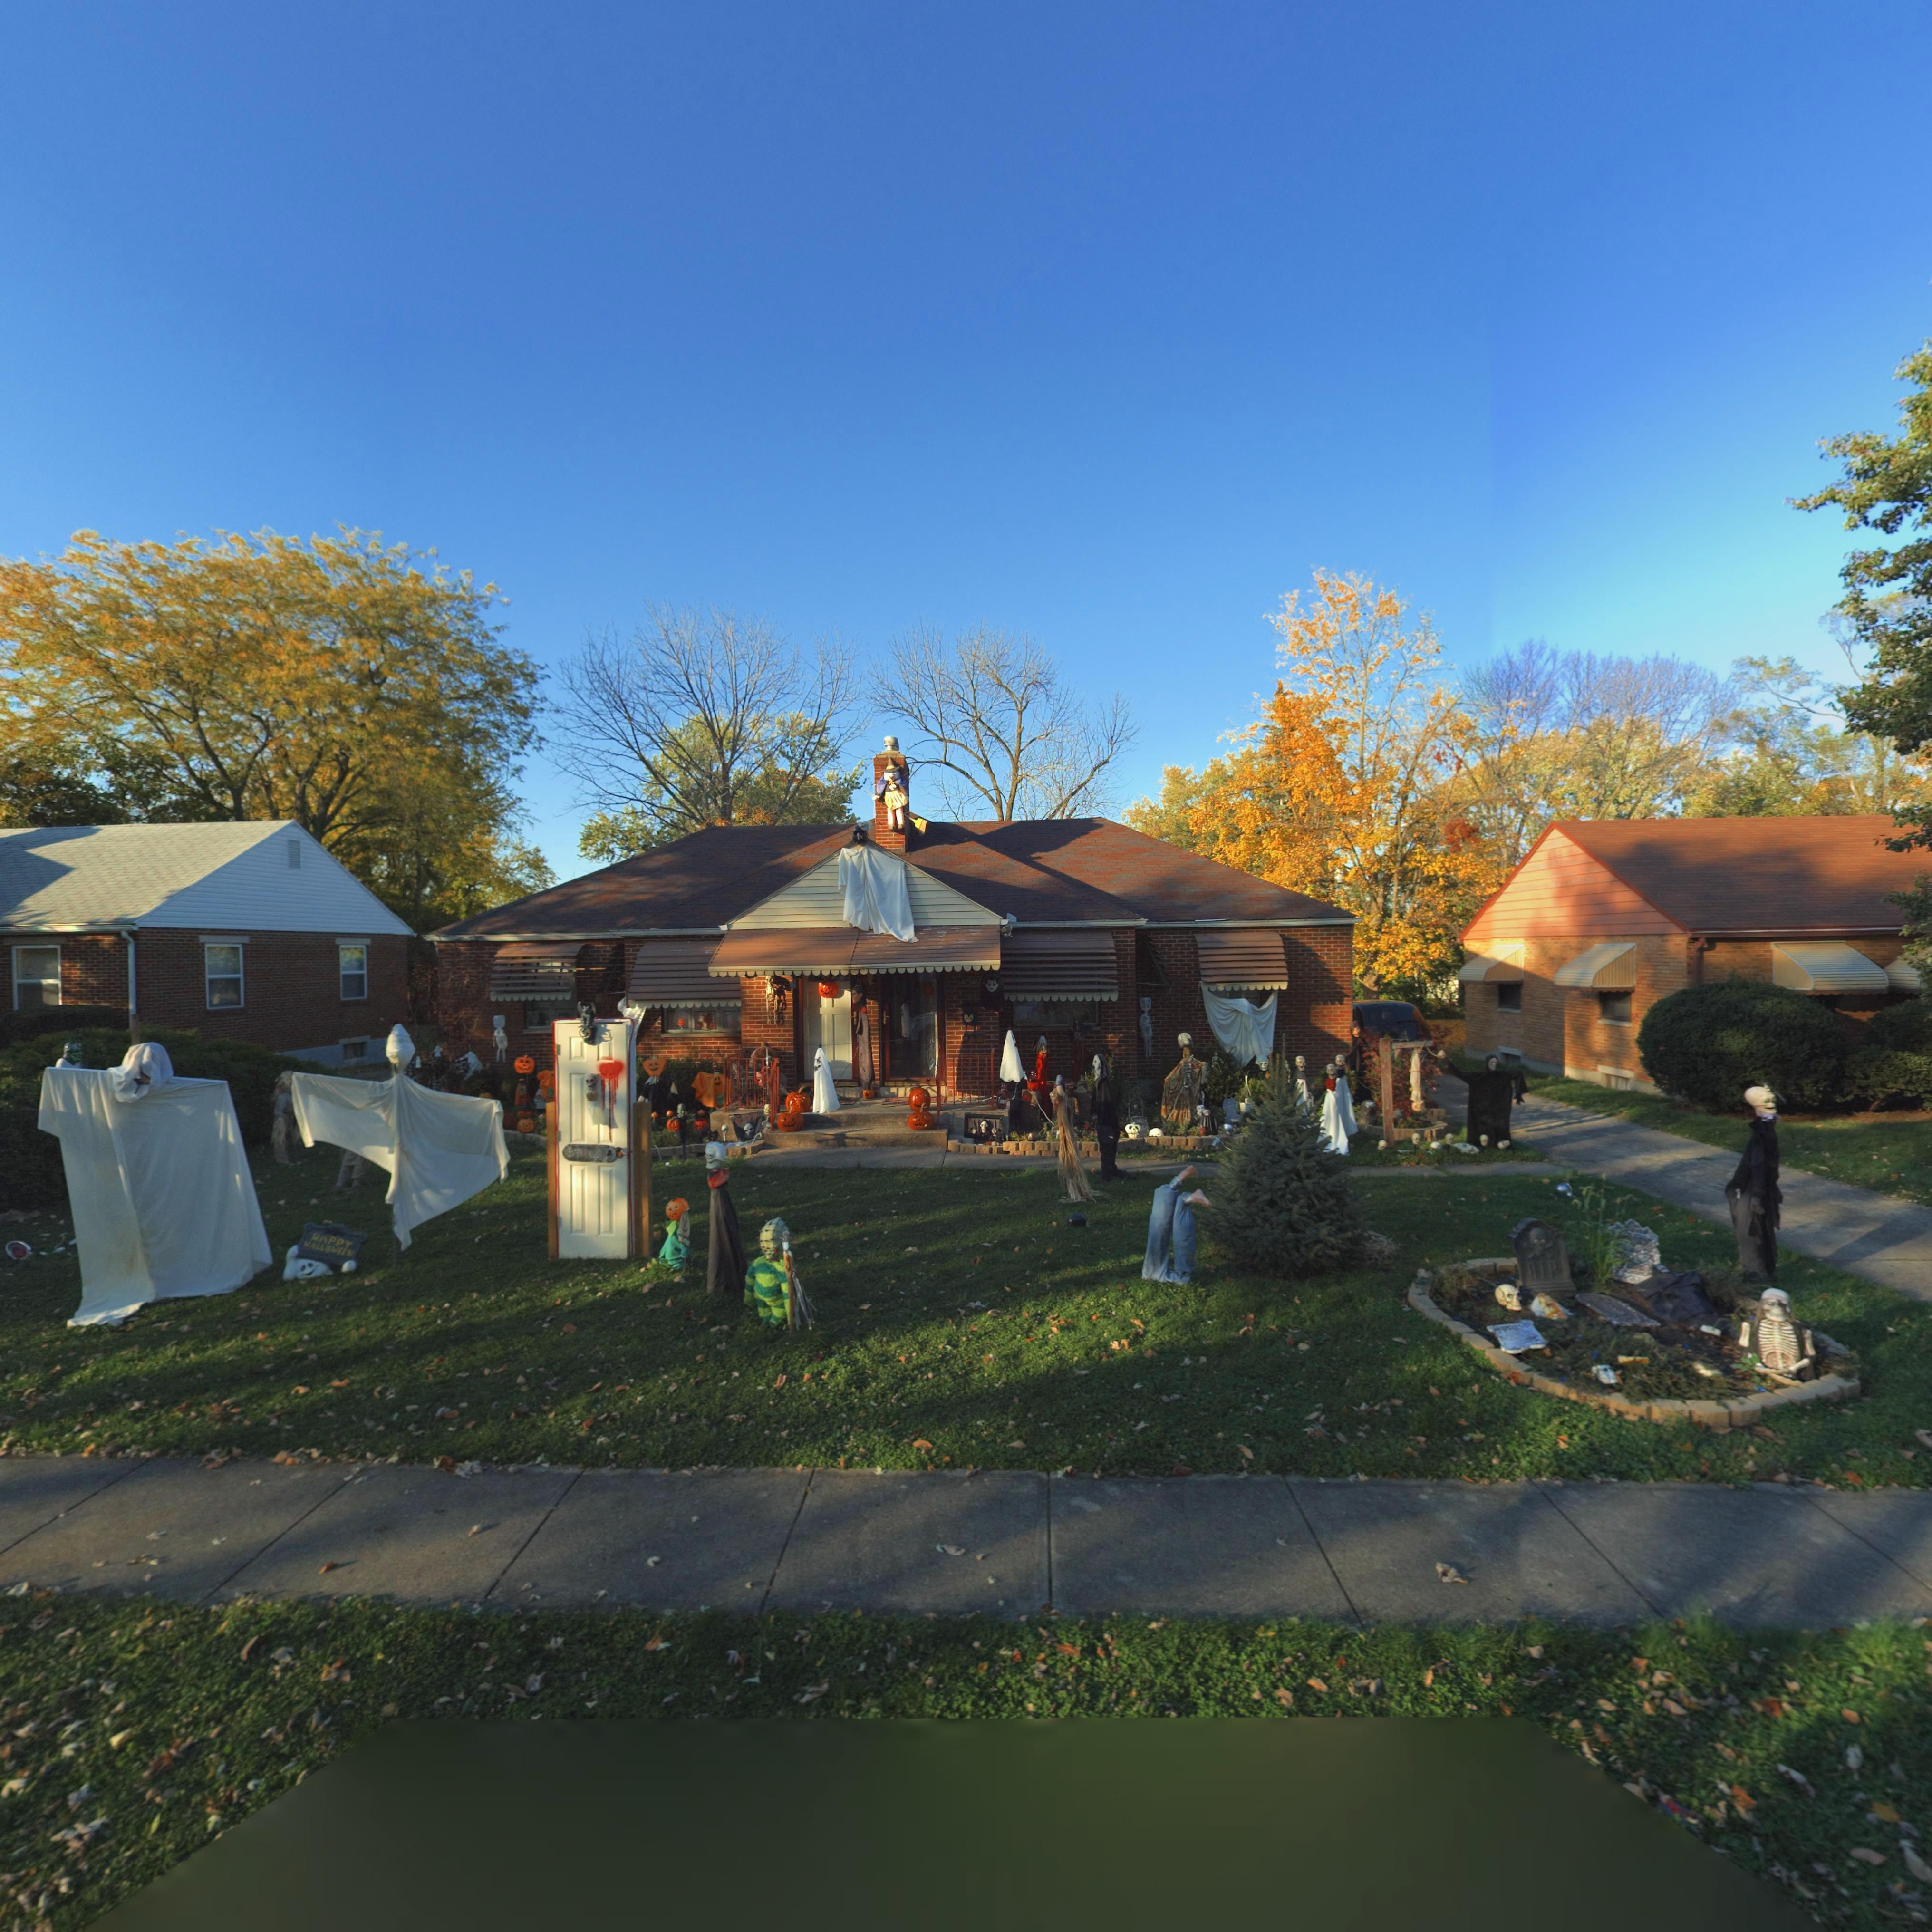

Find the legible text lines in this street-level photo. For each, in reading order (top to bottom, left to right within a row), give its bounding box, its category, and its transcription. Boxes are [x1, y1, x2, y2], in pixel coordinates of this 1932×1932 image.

[959, 977, 971, 986] StreetNumber: 415
[971, 977, 983, 986] StreetNumber: 417